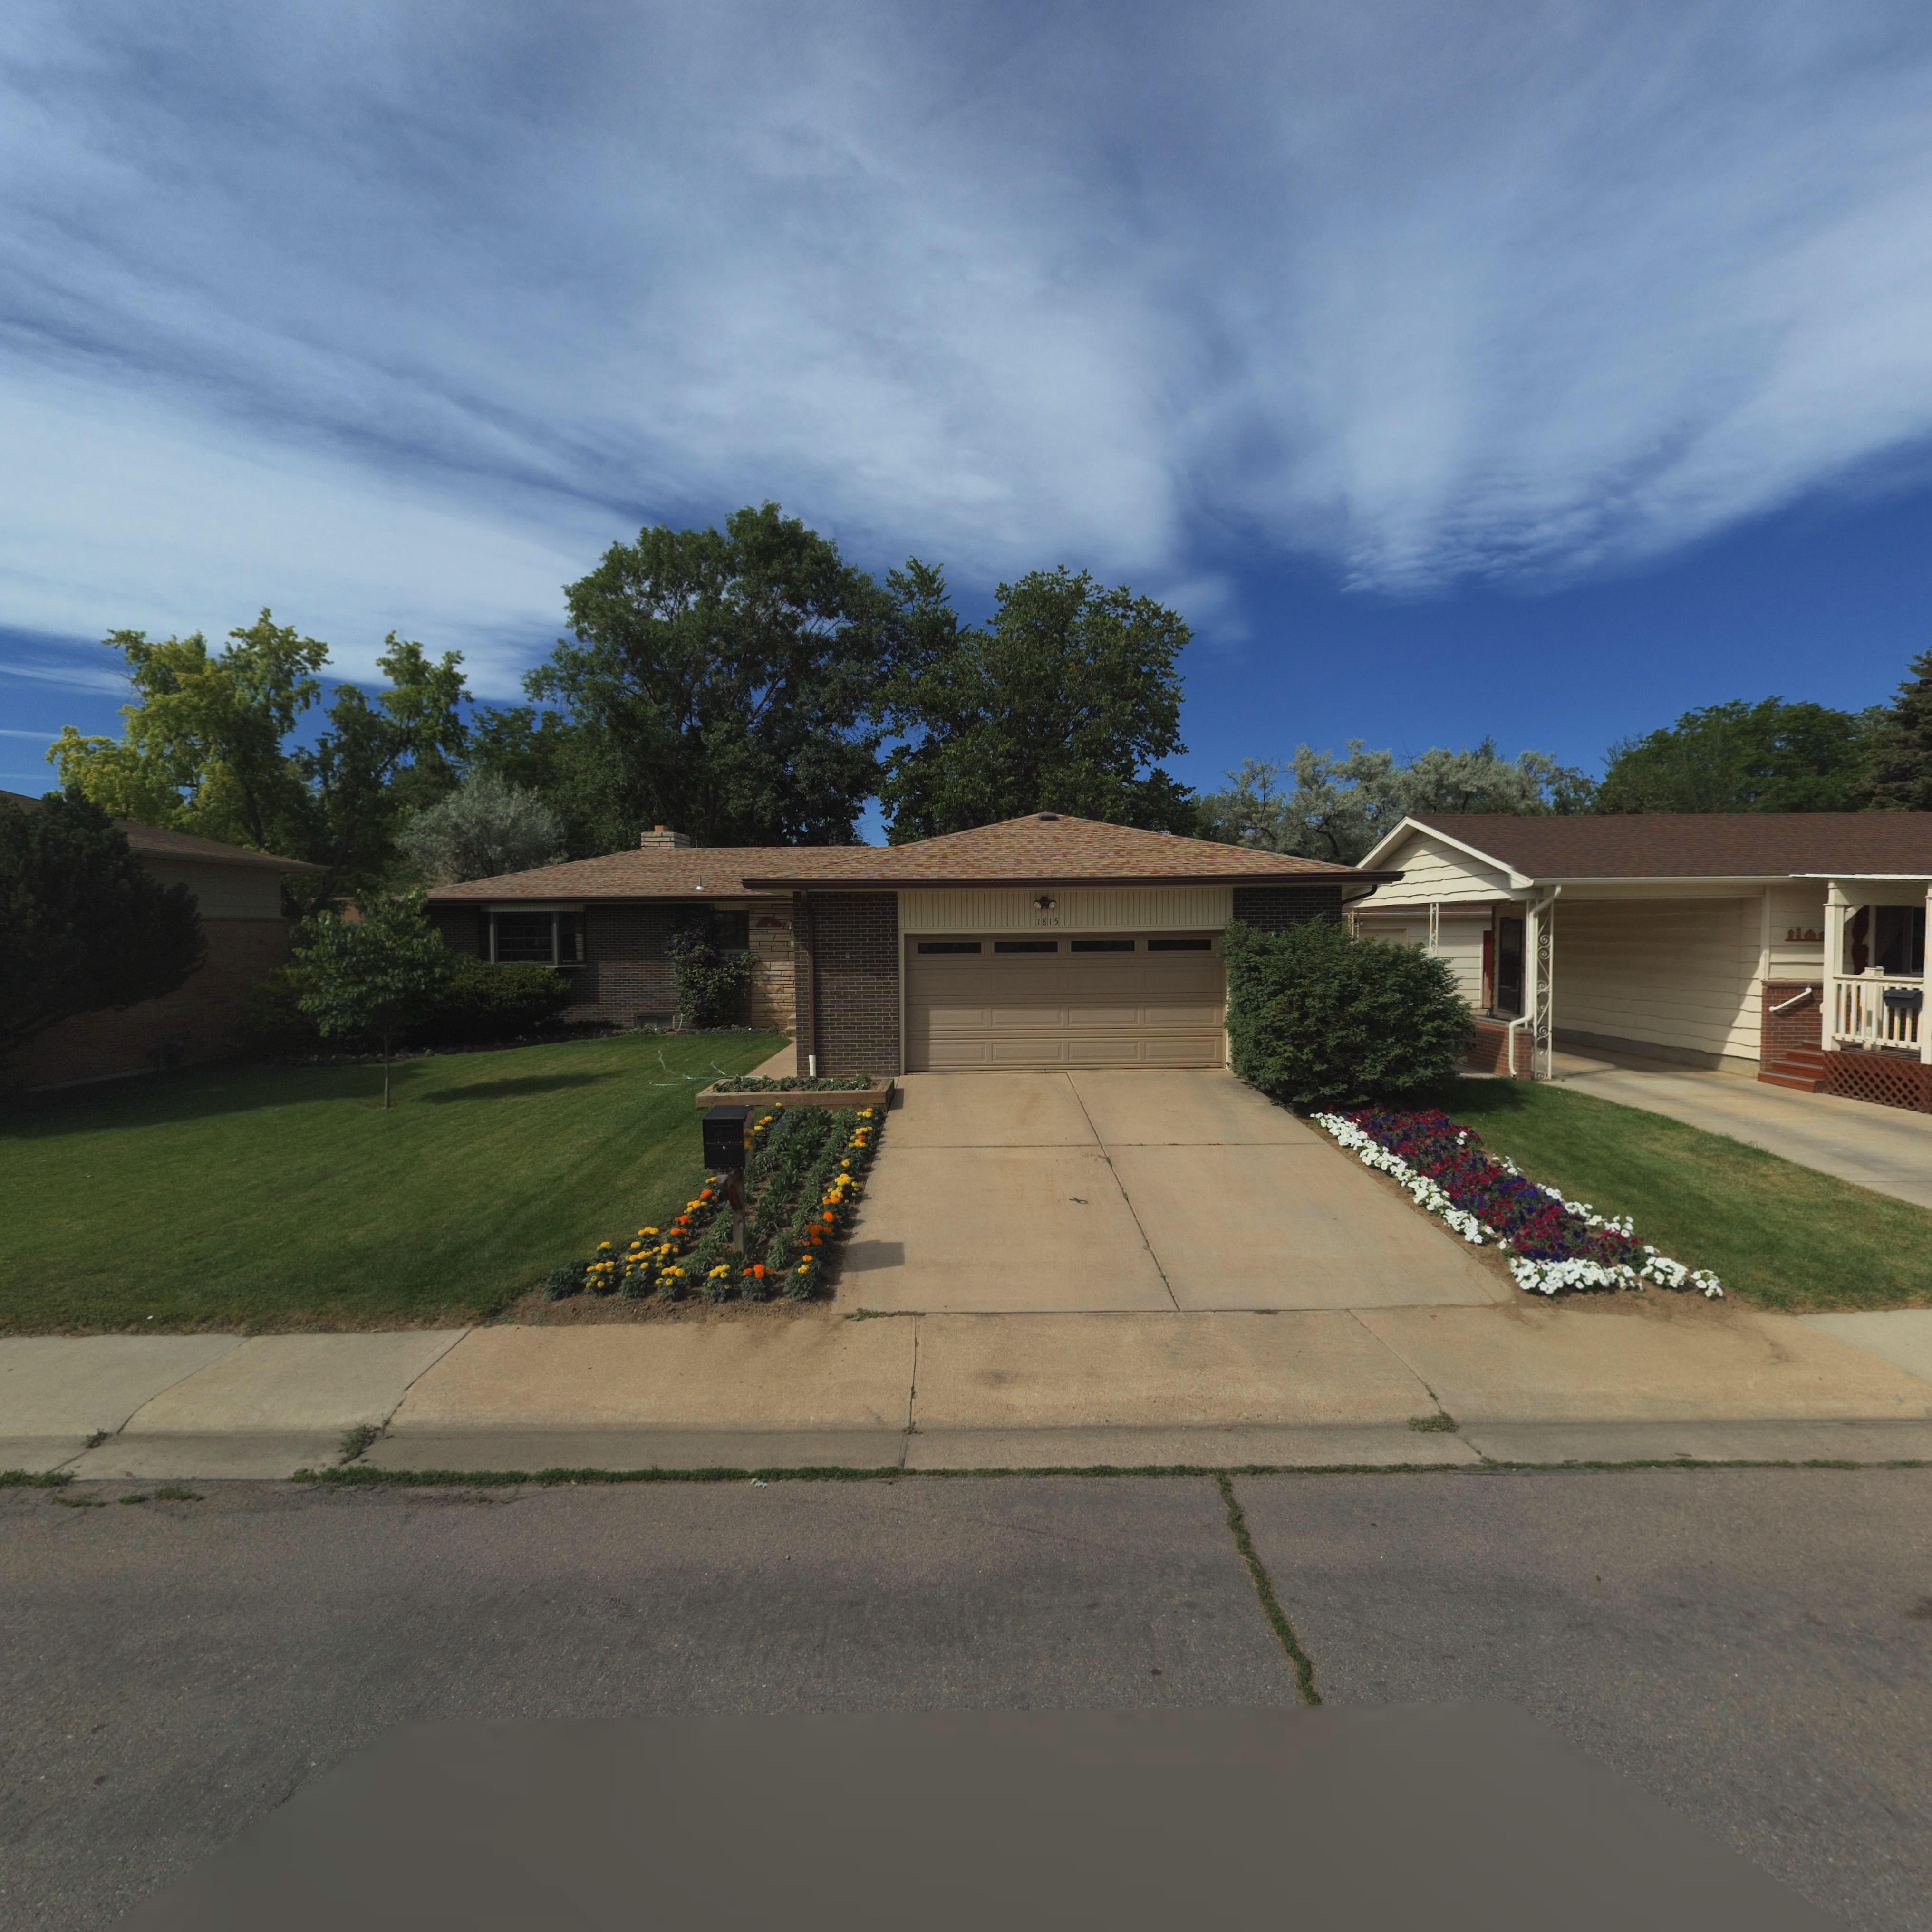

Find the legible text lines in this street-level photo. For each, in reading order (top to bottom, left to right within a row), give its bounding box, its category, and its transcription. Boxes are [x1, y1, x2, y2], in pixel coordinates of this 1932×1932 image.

[1037, 918, 1058, 926] StreetNumber: 1815